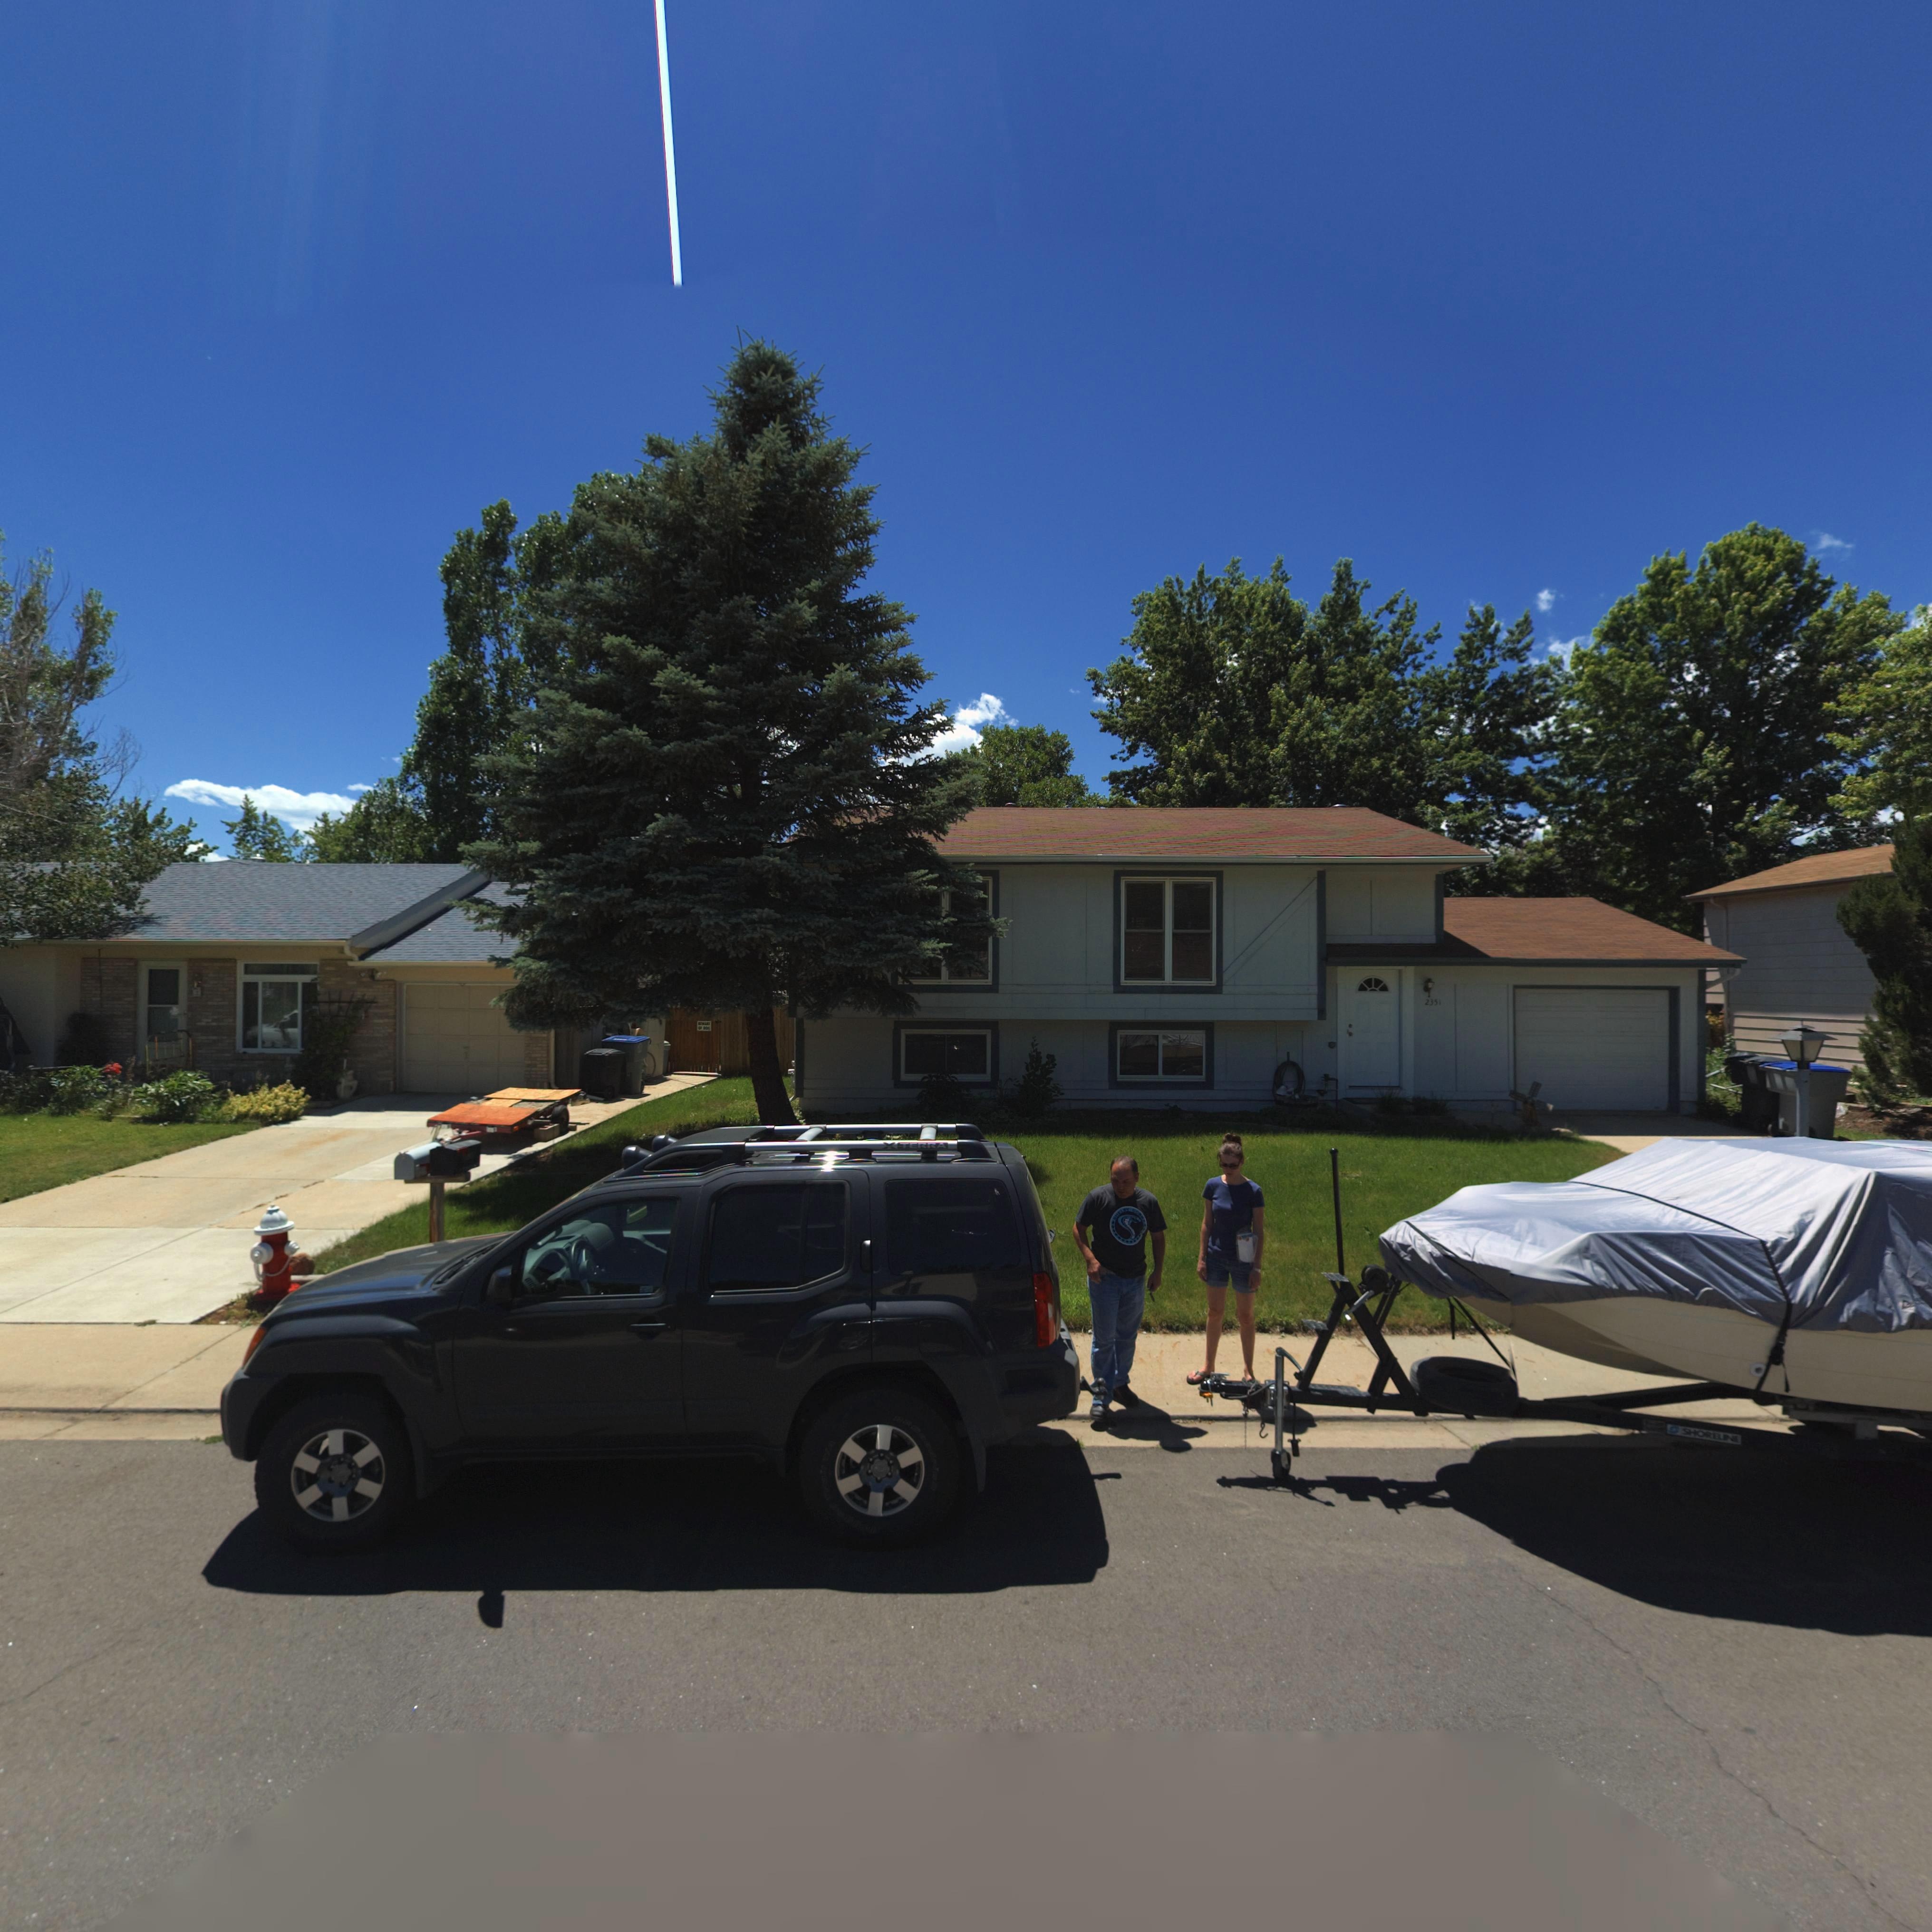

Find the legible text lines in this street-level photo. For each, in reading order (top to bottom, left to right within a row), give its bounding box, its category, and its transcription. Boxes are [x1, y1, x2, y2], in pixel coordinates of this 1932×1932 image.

[1424, 998, 1441, 1005] StreetNumber: 2351